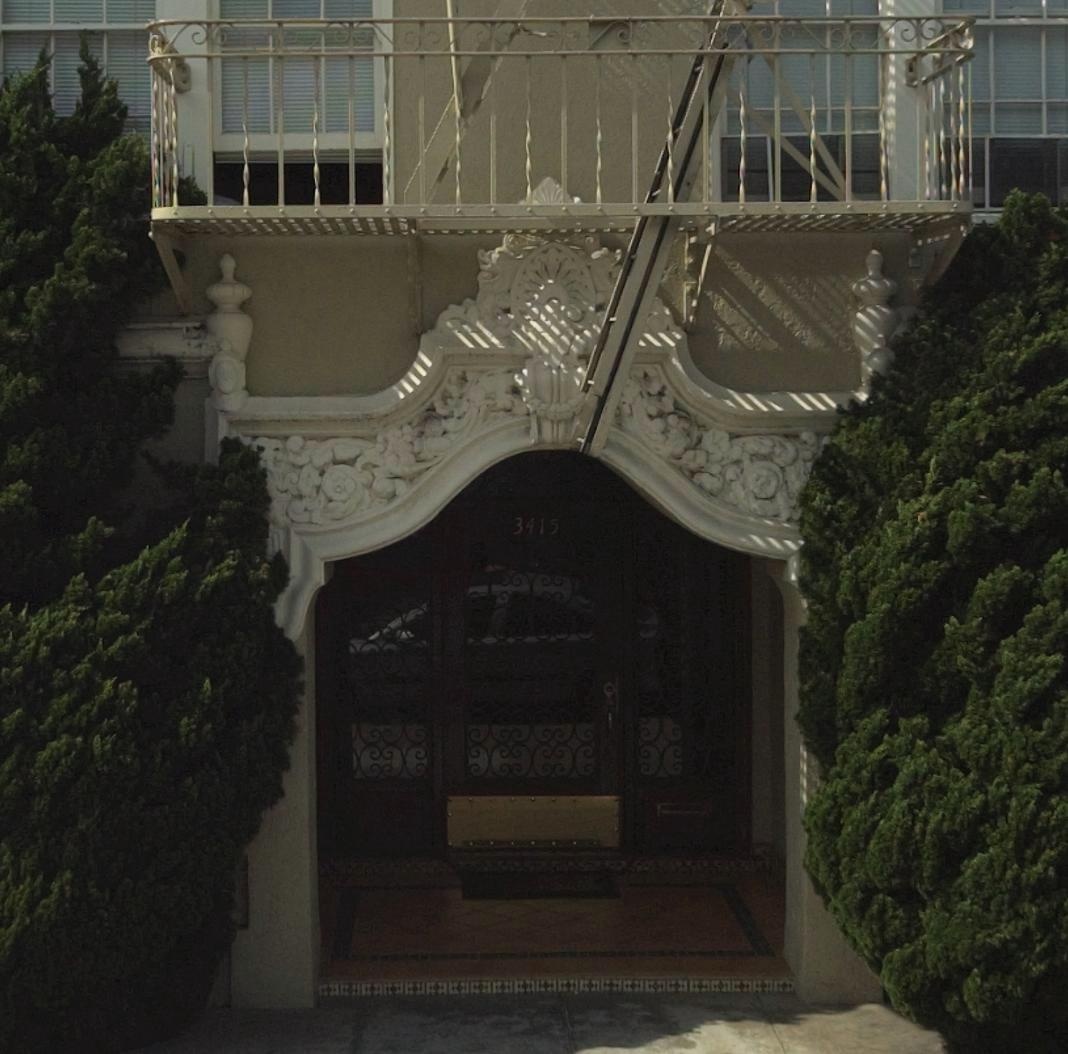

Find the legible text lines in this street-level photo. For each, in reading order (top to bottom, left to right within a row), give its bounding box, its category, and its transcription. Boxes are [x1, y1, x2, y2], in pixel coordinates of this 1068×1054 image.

[511, 516, 561, 537] StreetNumber: 3415